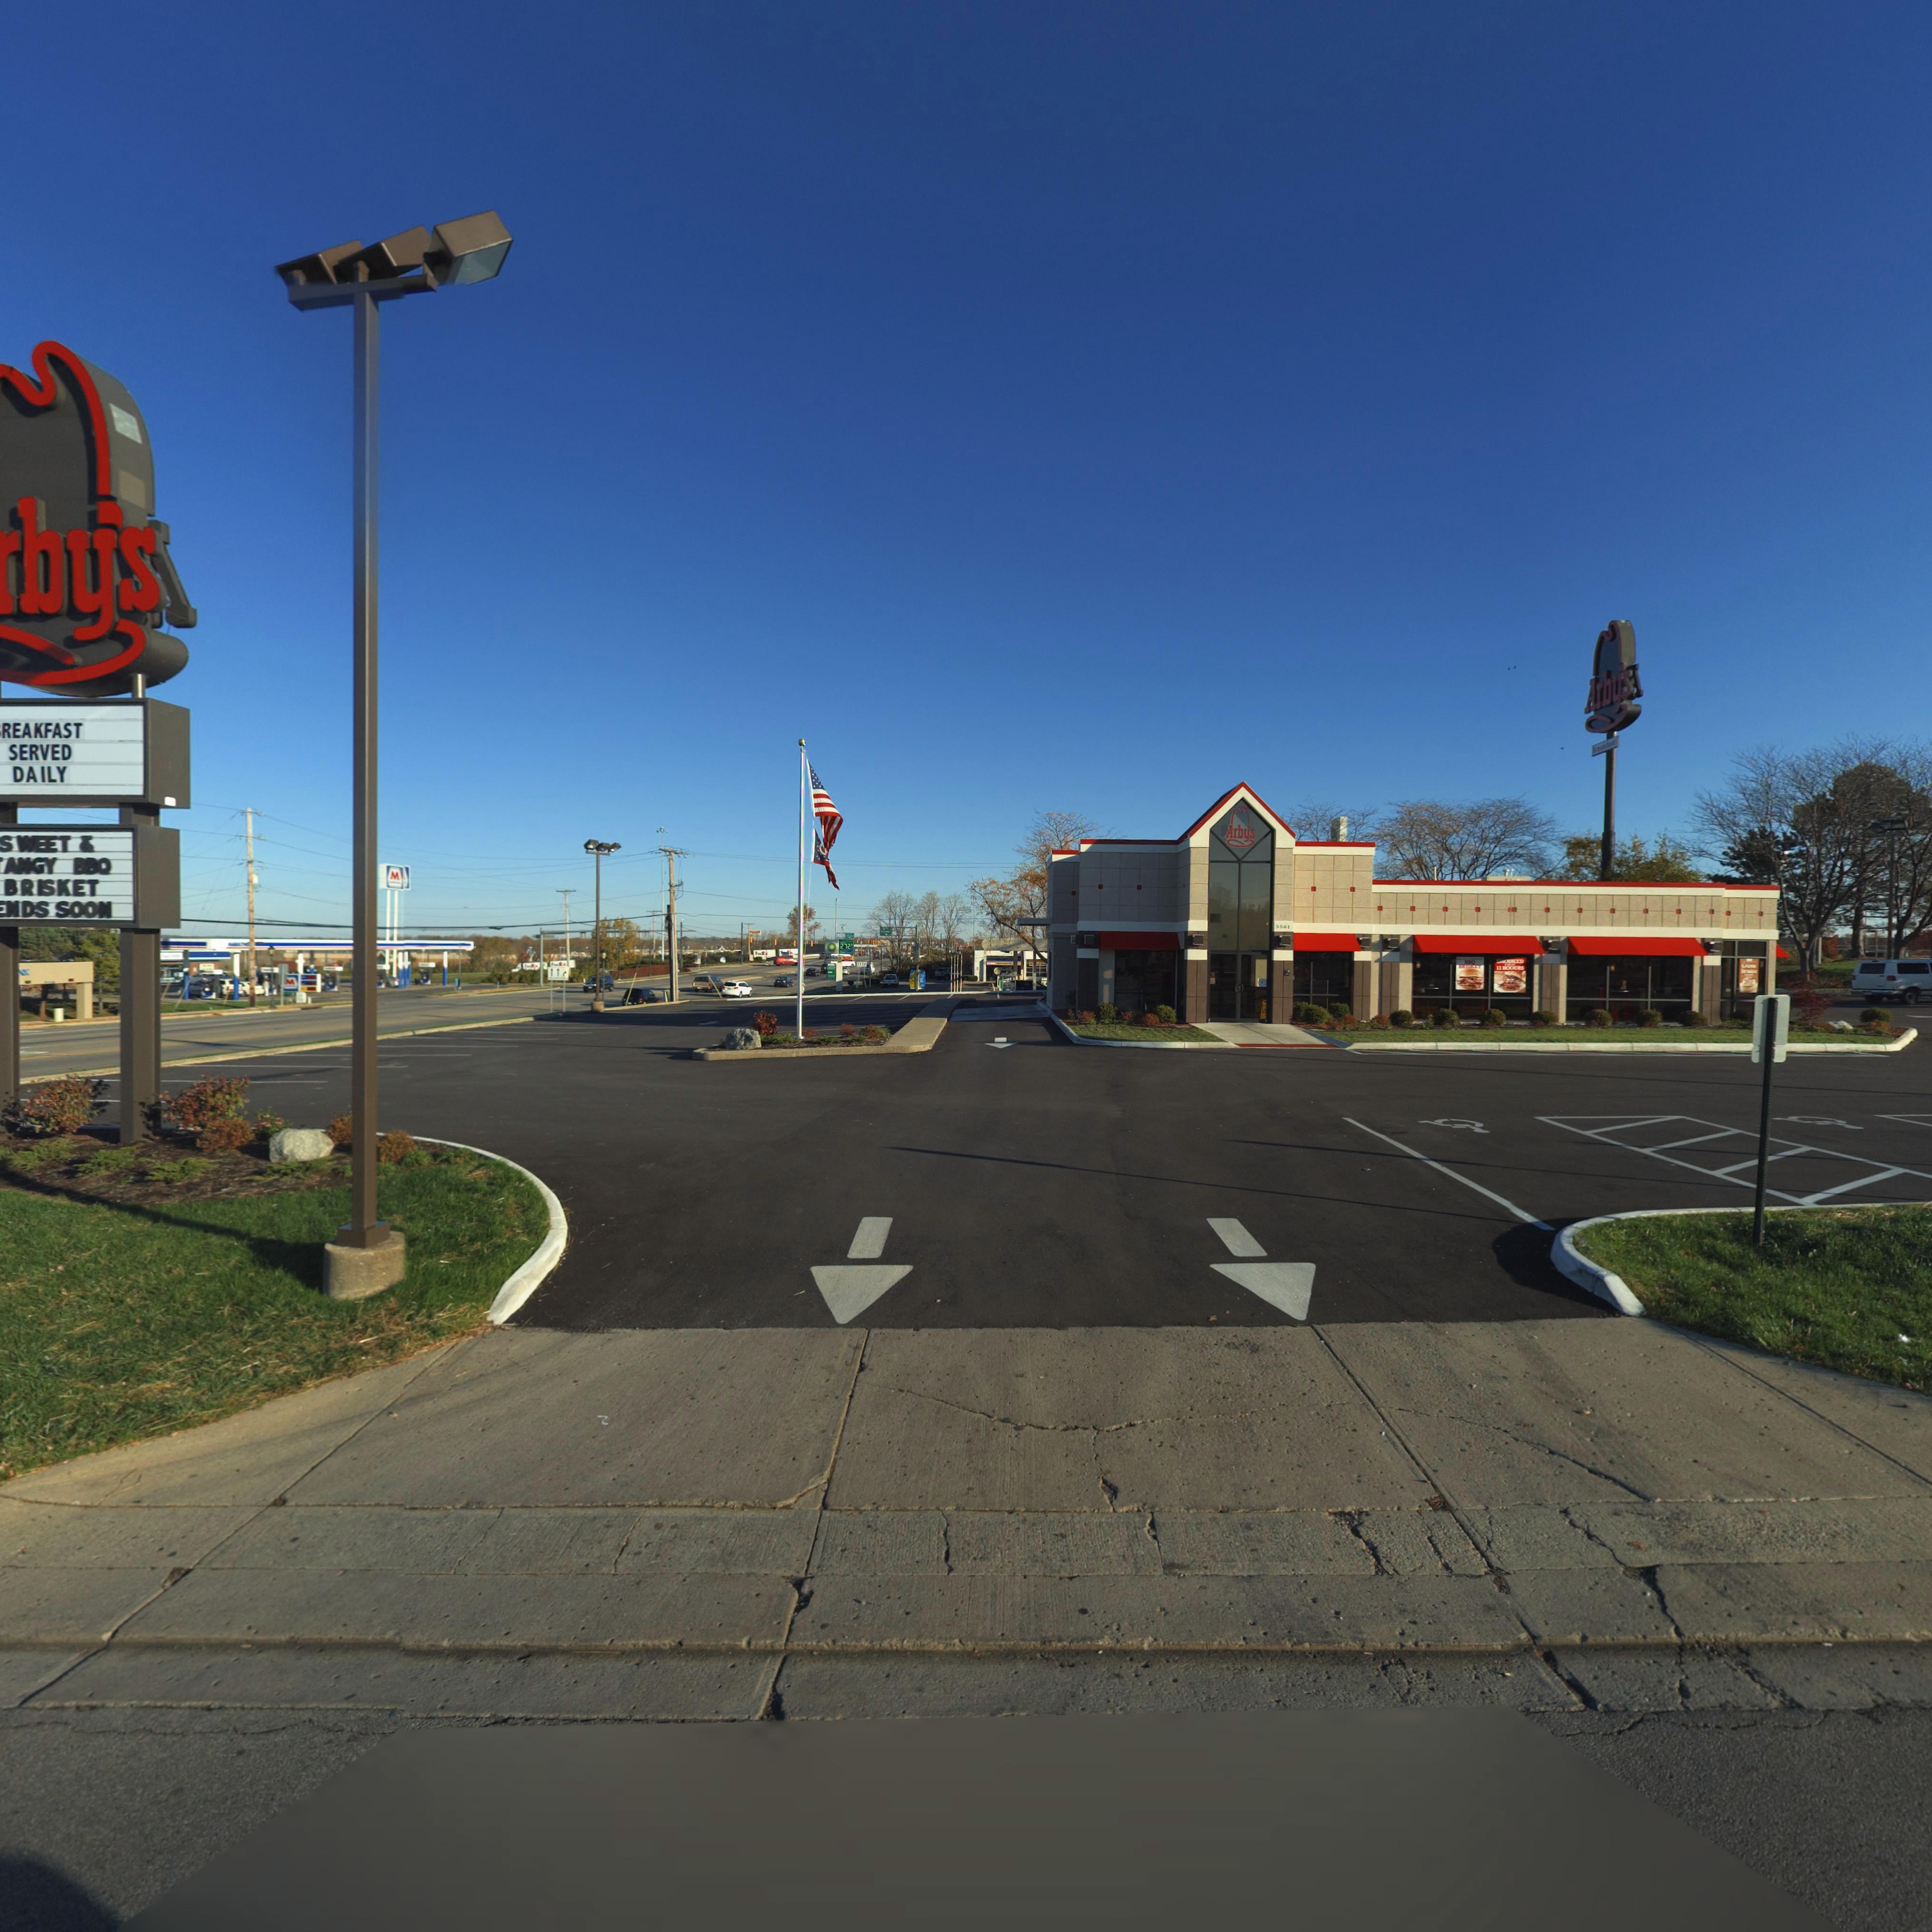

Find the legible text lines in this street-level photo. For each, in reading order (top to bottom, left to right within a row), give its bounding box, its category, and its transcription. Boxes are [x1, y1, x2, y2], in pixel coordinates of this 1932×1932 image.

[17, 493, 163, 644] BusinessName: by's
[1583, 663, 1633, 716] BusinessName: Arby's
[1225, 824, 1256, 843] BusinessName: Arby's
[1275, 924, 1291, 930] StreetNumber: 5561